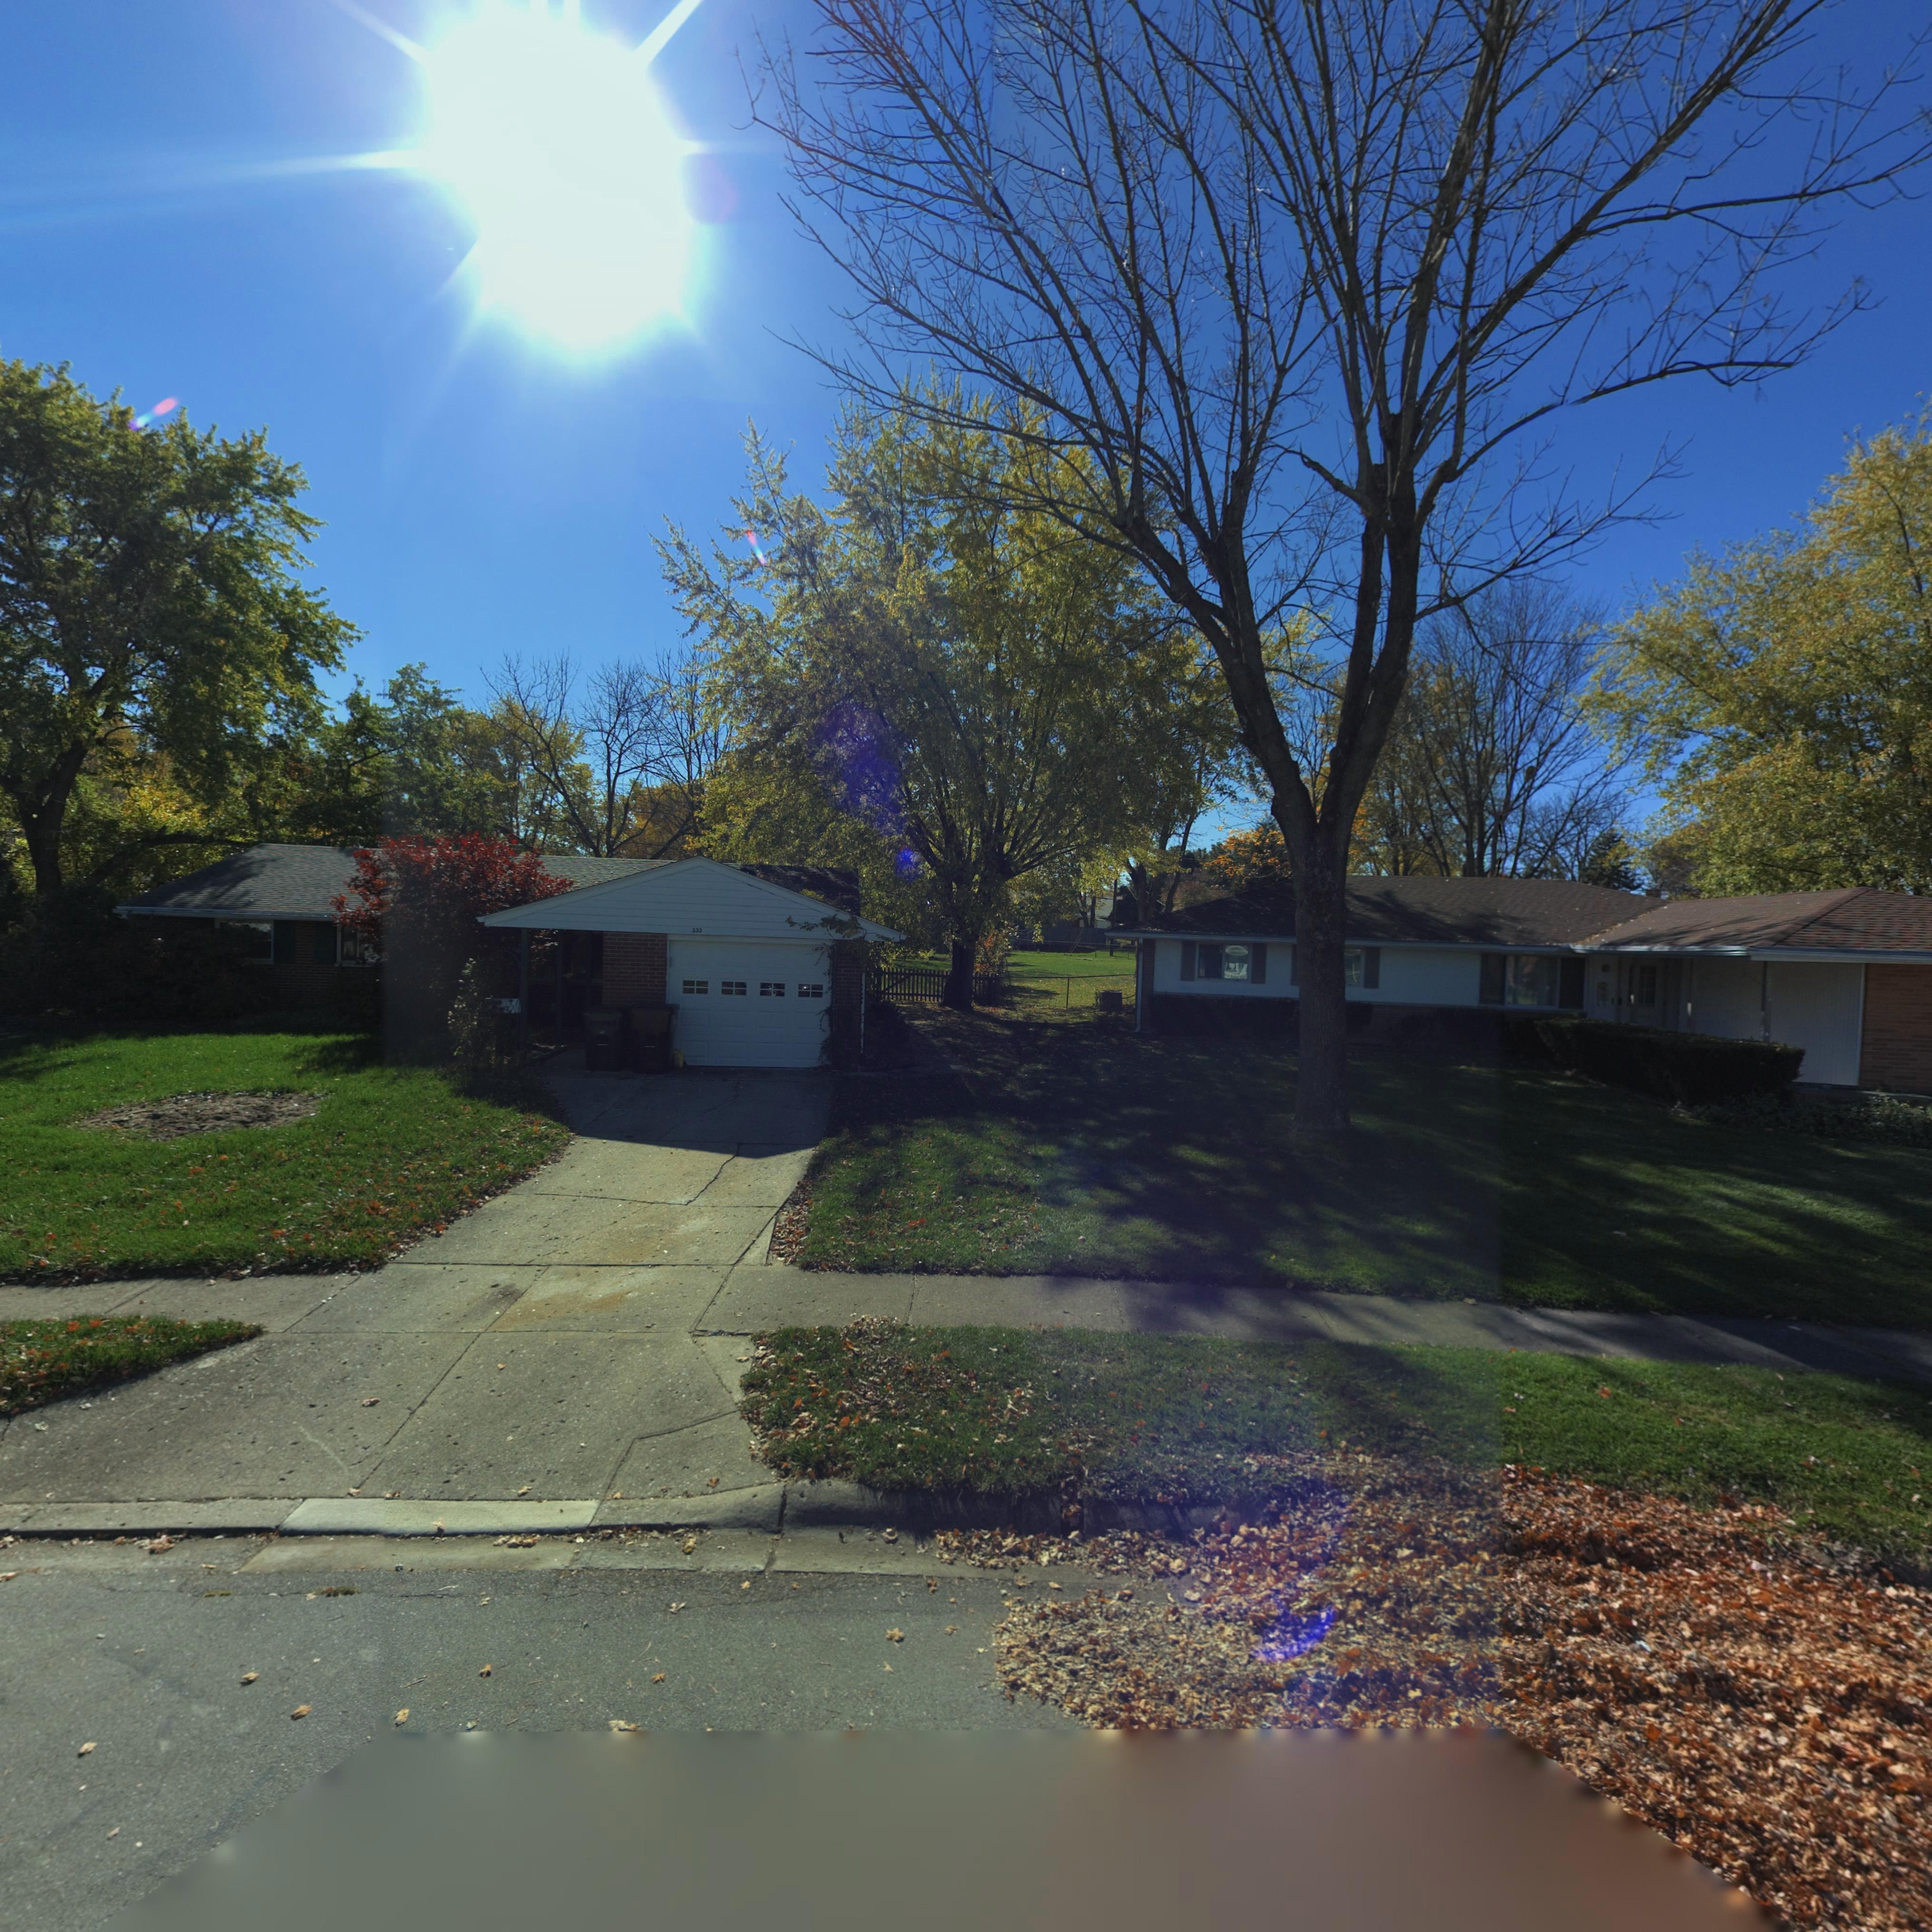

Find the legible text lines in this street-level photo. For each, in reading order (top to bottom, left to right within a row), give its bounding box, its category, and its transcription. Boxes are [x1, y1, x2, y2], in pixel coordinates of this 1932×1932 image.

[691, 927, 703, 934] StreetNumber: 333